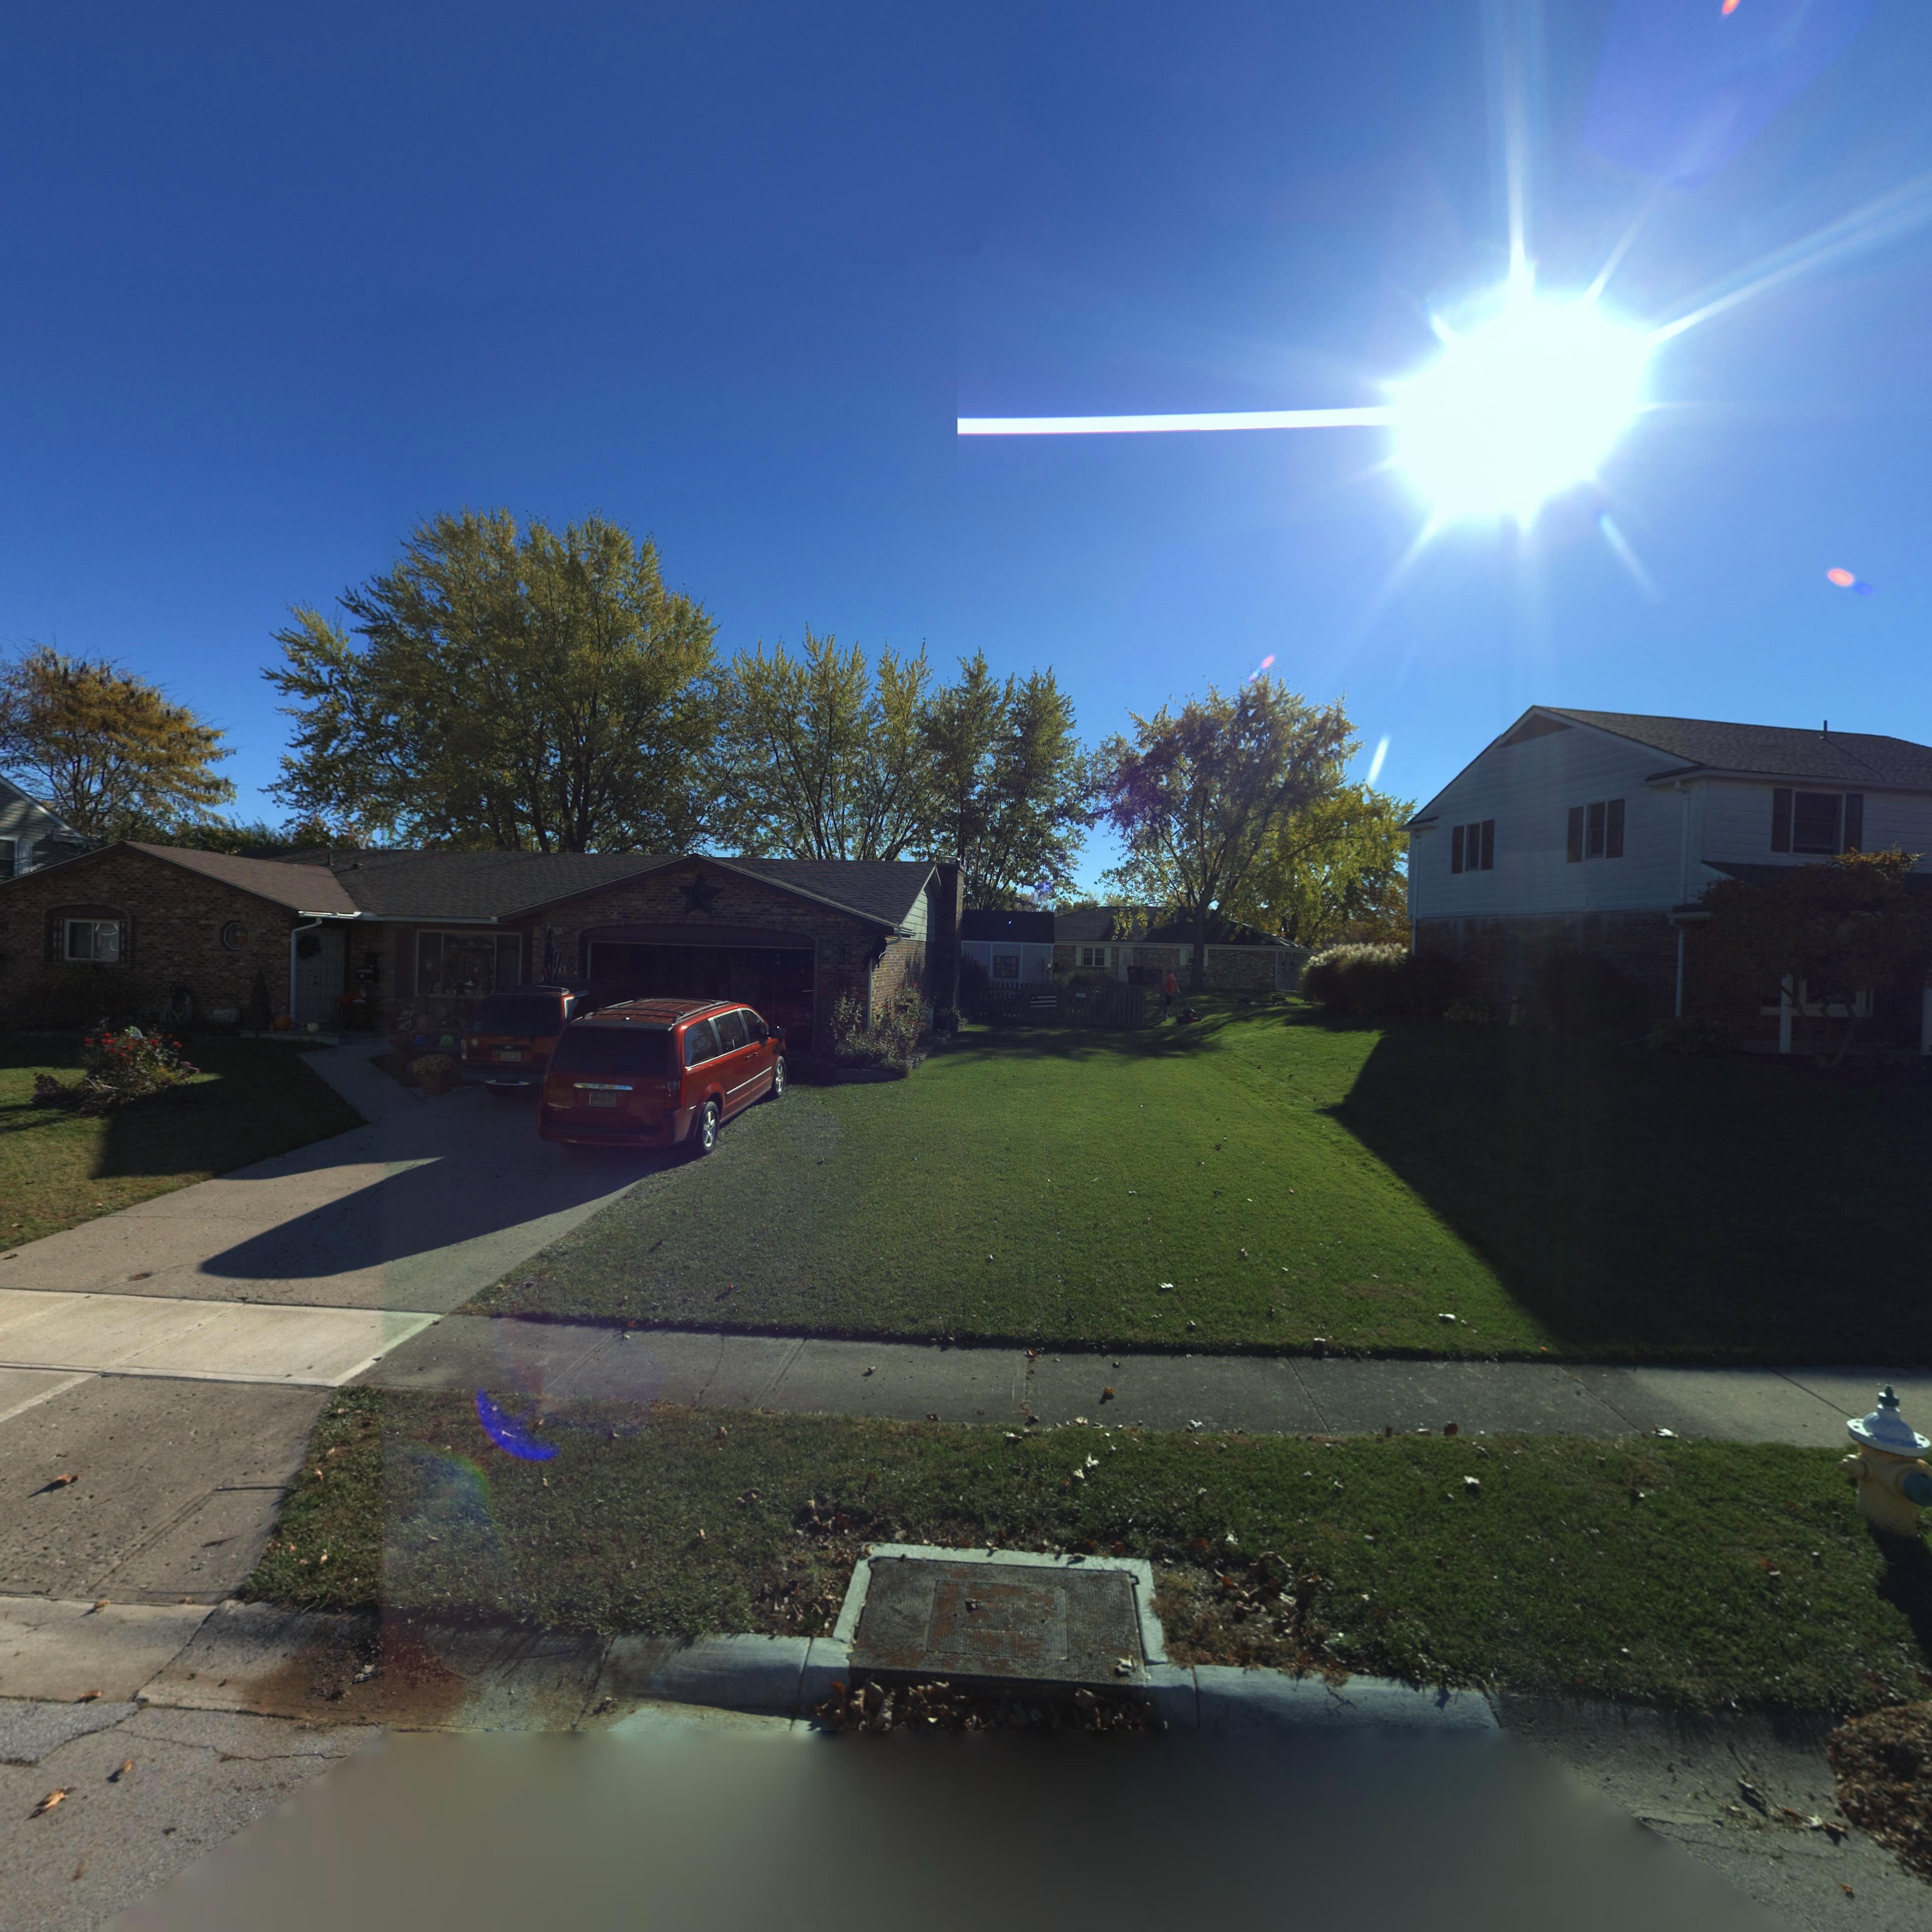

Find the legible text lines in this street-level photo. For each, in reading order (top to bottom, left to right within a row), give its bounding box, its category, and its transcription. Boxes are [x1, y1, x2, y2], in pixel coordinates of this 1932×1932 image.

[558, 967, 562, 973] StreetNumber: 8